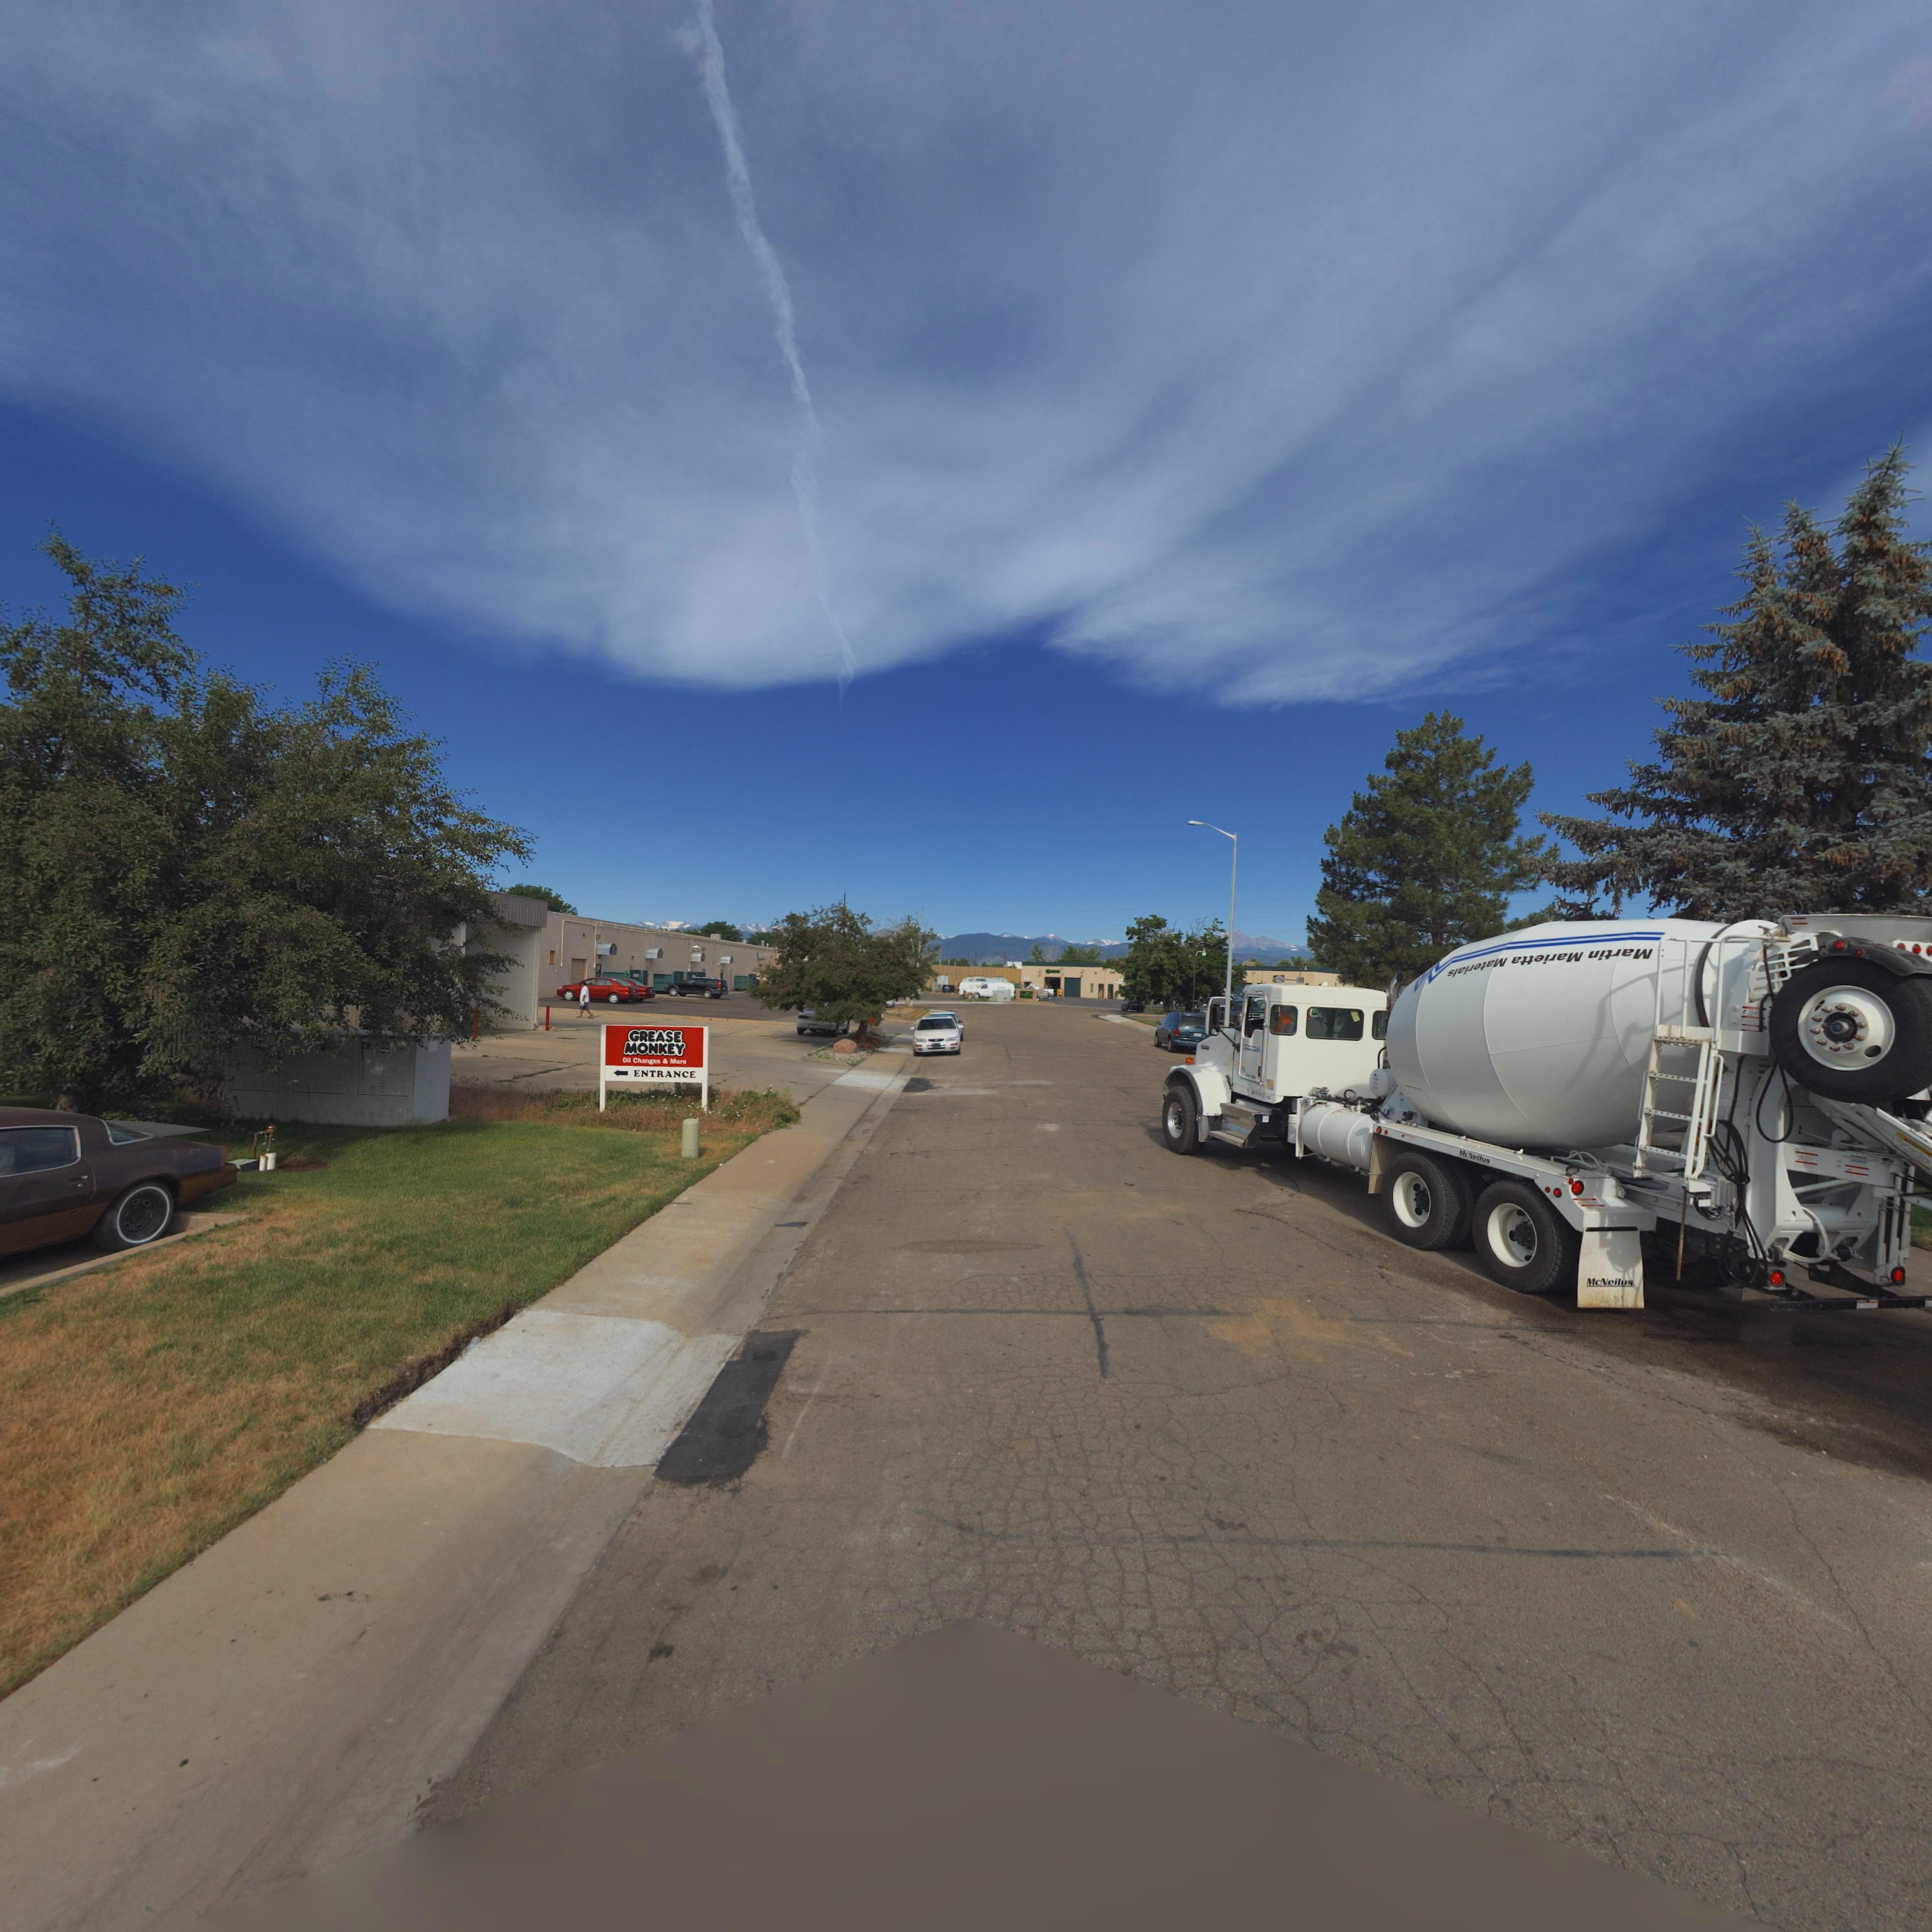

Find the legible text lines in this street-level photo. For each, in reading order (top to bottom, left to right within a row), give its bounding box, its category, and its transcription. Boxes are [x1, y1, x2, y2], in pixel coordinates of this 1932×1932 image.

[628, 1029, 682, 1043] BusinessName: GREASE
[623, 1041, 686, 1055] BusinessName: MONKEY 